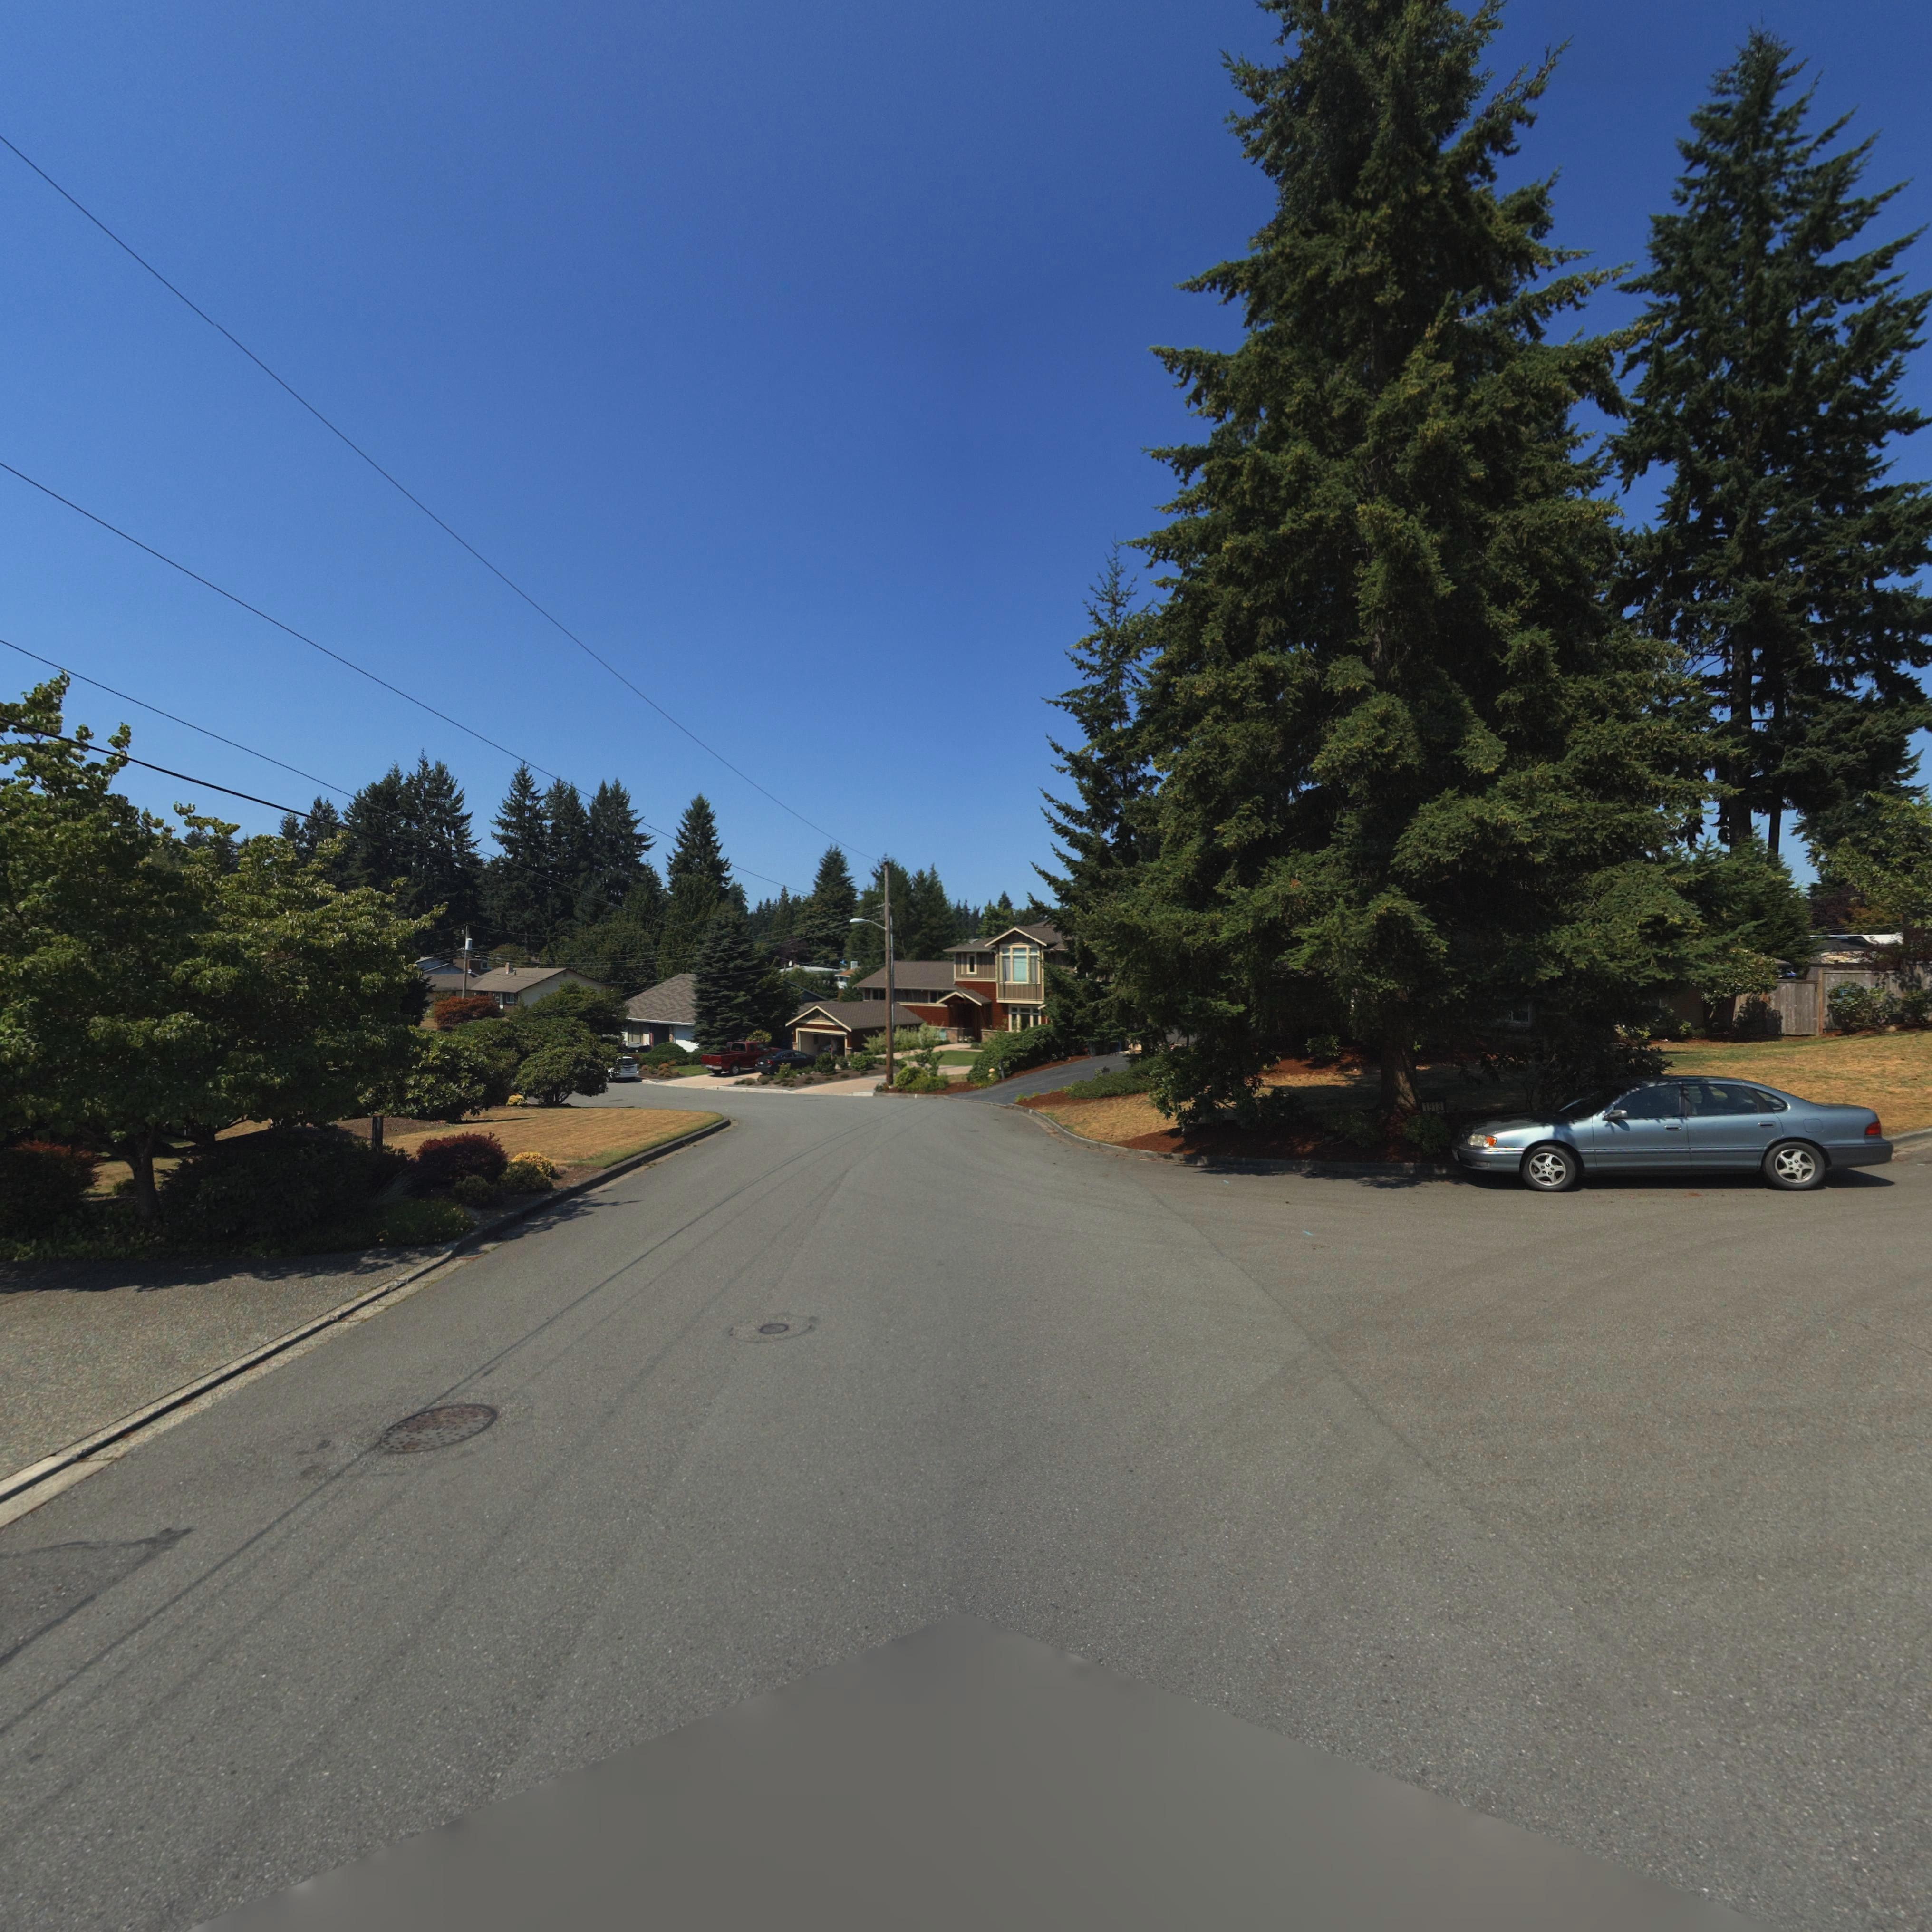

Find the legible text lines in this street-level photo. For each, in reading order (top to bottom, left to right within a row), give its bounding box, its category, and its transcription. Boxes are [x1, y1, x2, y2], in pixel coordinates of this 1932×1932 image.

[1421, 1101, 1444, 1112] StreetNumber: 1913